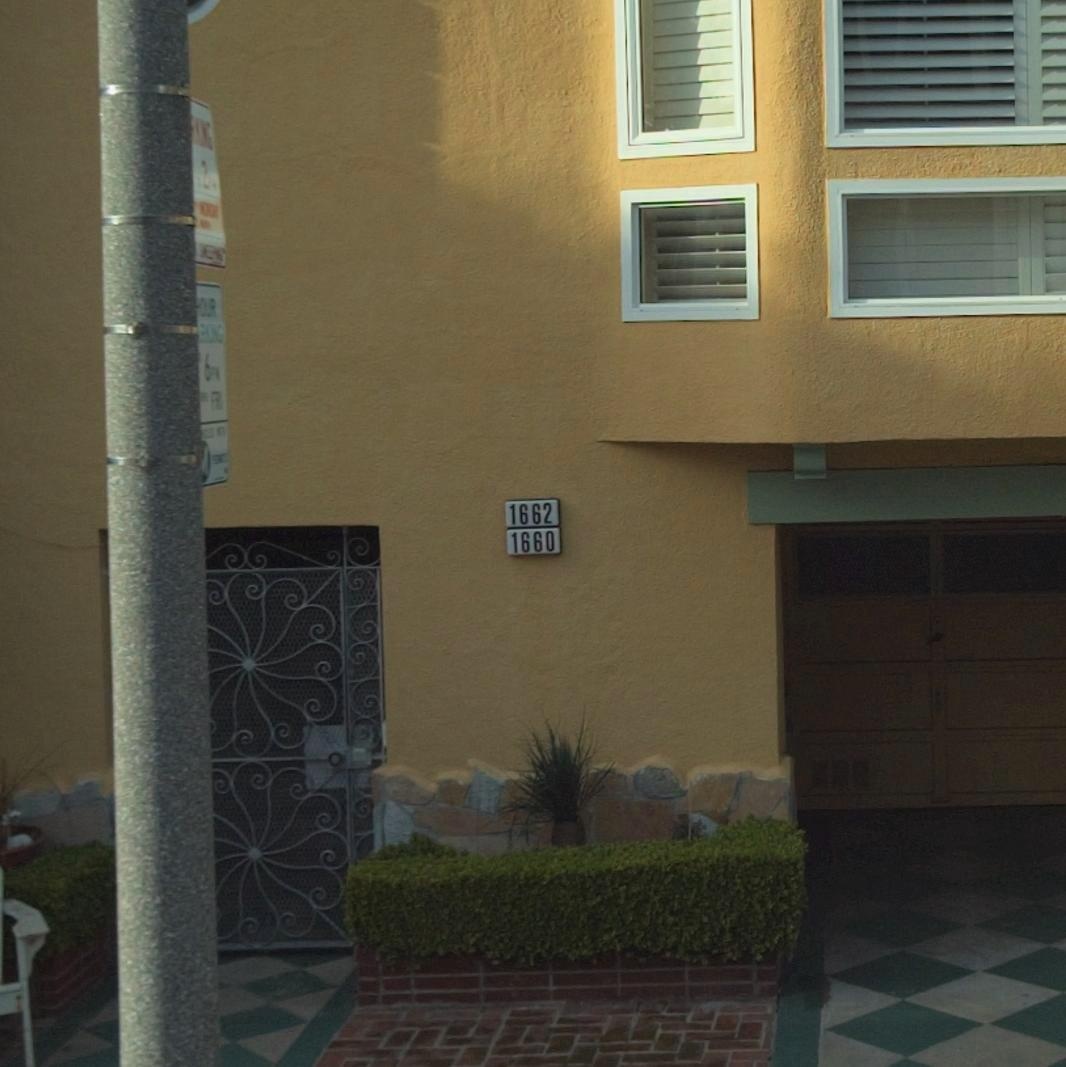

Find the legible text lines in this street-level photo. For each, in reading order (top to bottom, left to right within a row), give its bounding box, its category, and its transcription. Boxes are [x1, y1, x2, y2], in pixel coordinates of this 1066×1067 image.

[197, 157, 214, 191] None: 2
[201, 349, 214, 385] None: 6
[507, 500, 554, 527] StreetNumber: 1662
[509, 529, 557, 554] StreetNumber: 1660